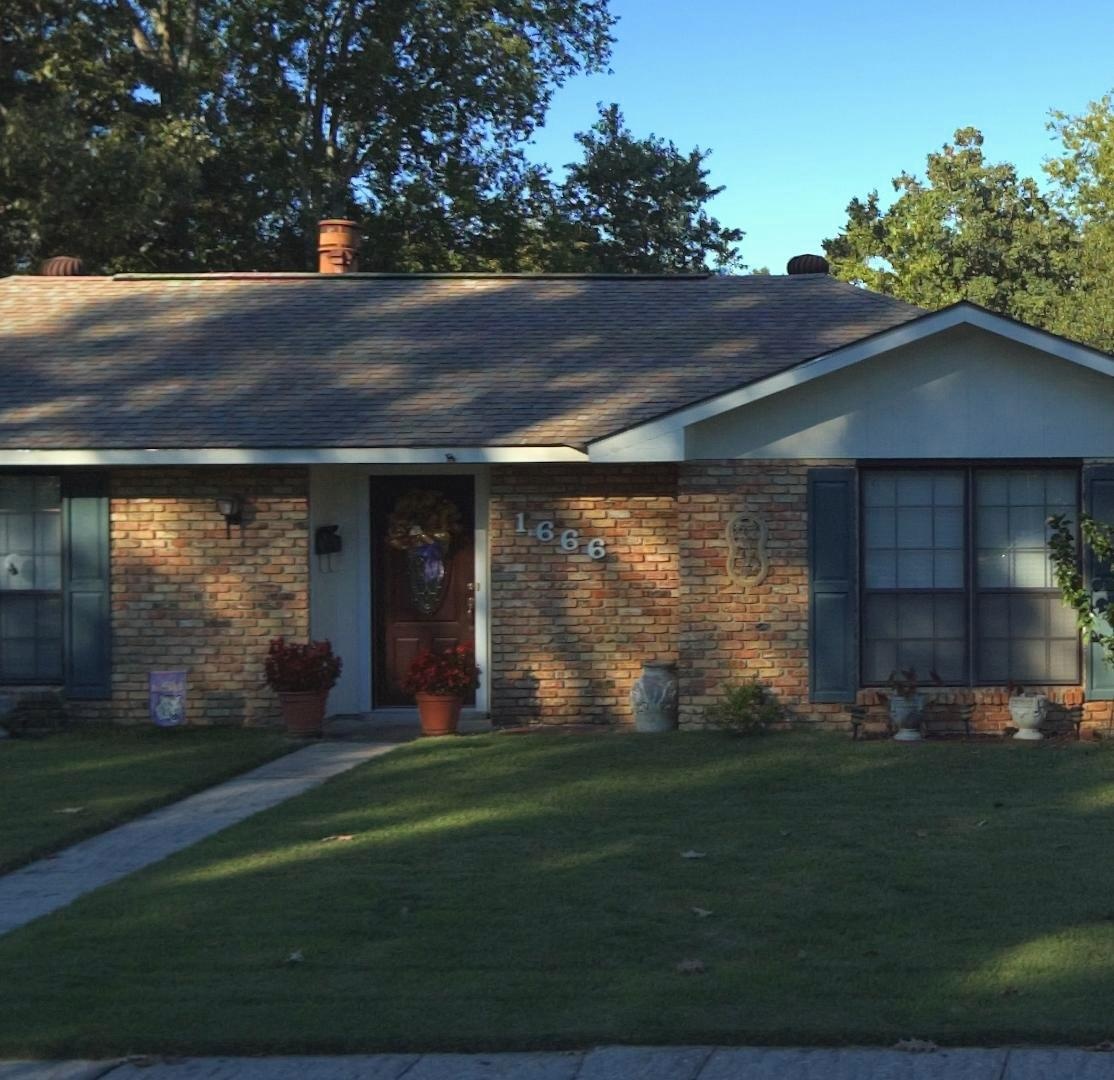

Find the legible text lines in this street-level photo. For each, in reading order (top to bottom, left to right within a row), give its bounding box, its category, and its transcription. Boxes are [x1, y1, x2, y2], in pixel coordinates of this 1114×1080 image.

[511, 509, 609, 562] StreetNumber: 1666